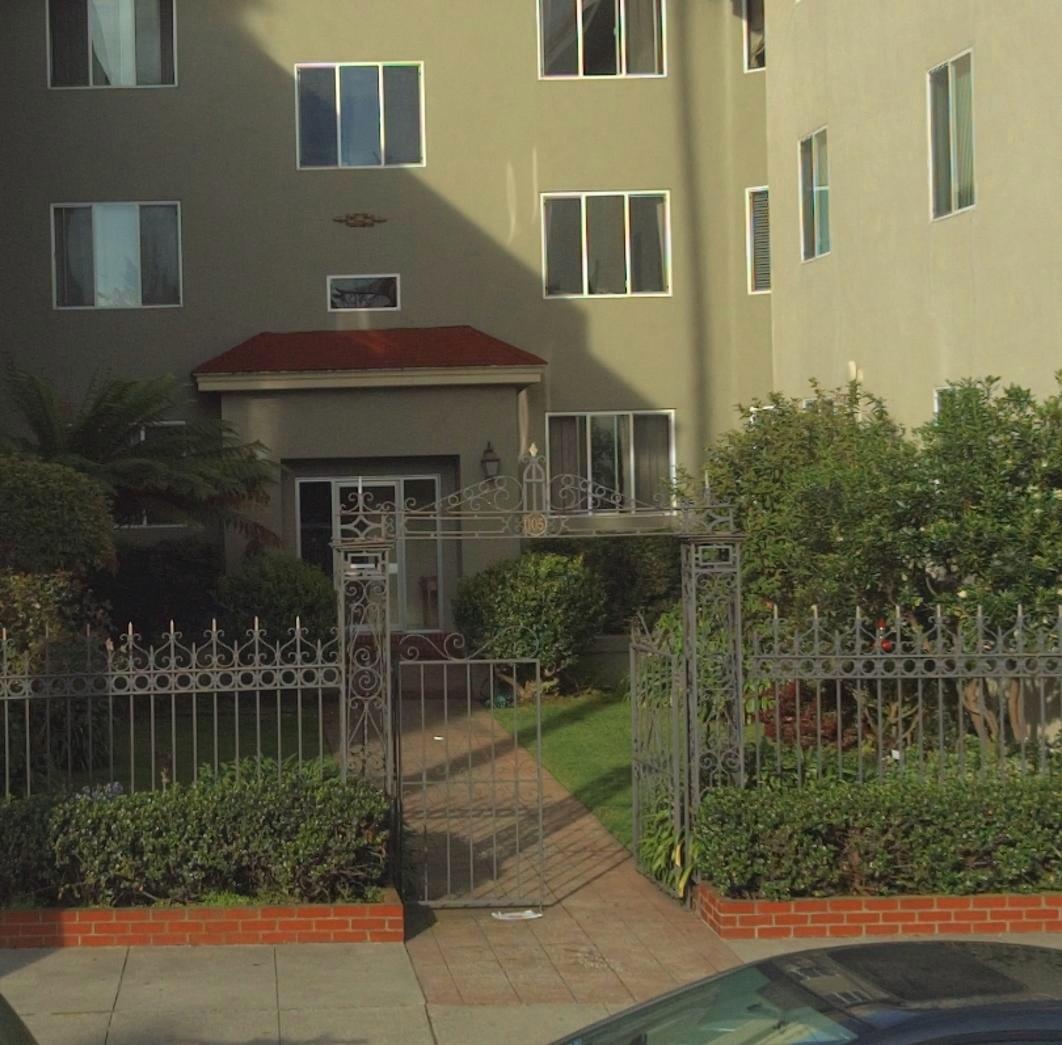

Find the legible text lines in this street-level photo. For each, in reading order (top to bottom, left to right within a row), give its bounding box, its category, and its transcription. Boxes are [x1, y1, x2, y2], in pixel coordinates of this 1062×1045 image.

[526, 516, 546, 533] StreetNumber: 105